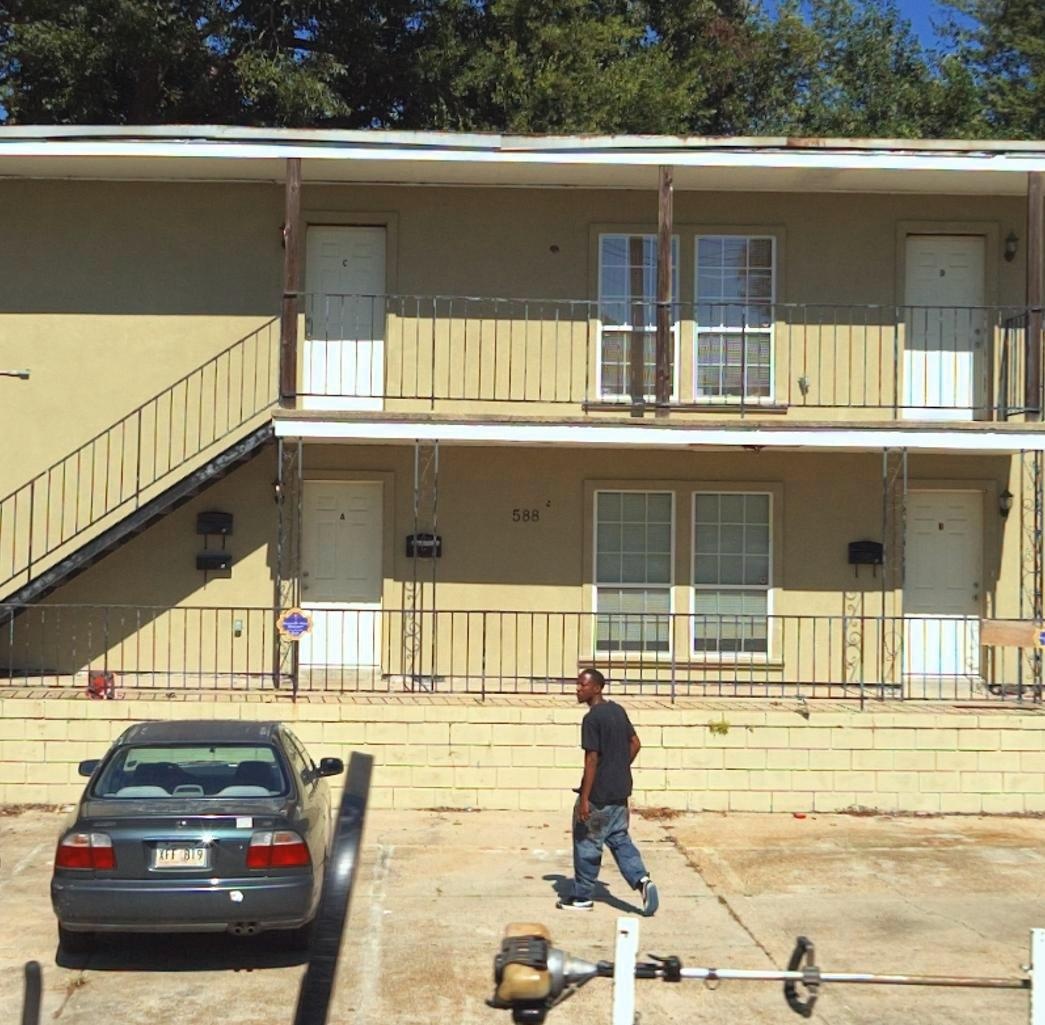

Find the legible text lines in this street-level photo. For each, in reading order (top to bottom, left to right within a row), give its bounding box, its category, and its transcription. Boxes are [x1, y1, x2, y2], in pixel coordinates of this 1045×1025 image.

[341, 258, 349, 269] StreetNumber: C
[938, 268, 946, 279] StreetNumber: D
[339, 512, 346, 522] StreetNumber: A
[512, 508, 541, 523] StreetNumber: 588
[937, 521, 945, 532] StreetNumber: B
[157, 847, 204, 862] None: XFT 819